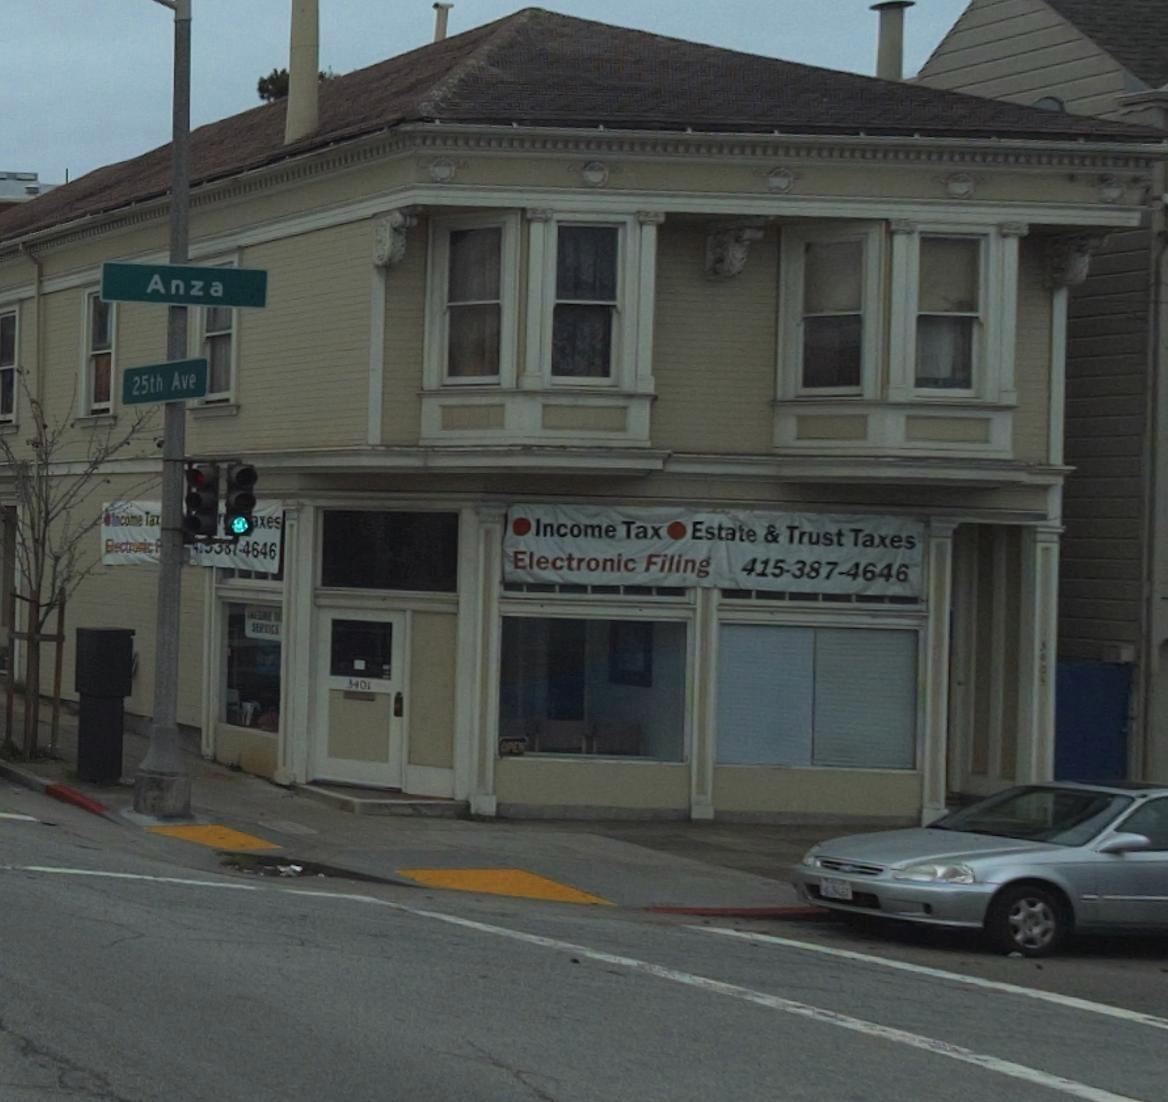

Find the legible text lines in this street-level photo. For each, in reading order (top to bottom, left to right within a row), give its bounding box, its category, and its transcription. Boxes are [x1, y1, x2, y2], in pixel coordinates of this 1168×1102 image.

[141, 271, 226, 300] StreetName: Anza
[130, 368, 198, 398] StreetName: 25th Ave
[142, 508, 163, 529] BusinessName: Ta*
[256, 513, 283, 532] BusinessName: xe*
[532, 516, 921, 553] BusinessName: Income Tax*Estate & Trust Taxes
[240, 539, 279, 564] None: 4646
[511, 548, 714, 581] None: Electronic Filing
[737, 553, 912, 586] None: 415-387-4646
[345, 676, 374, 692] StreetNumber: 3401